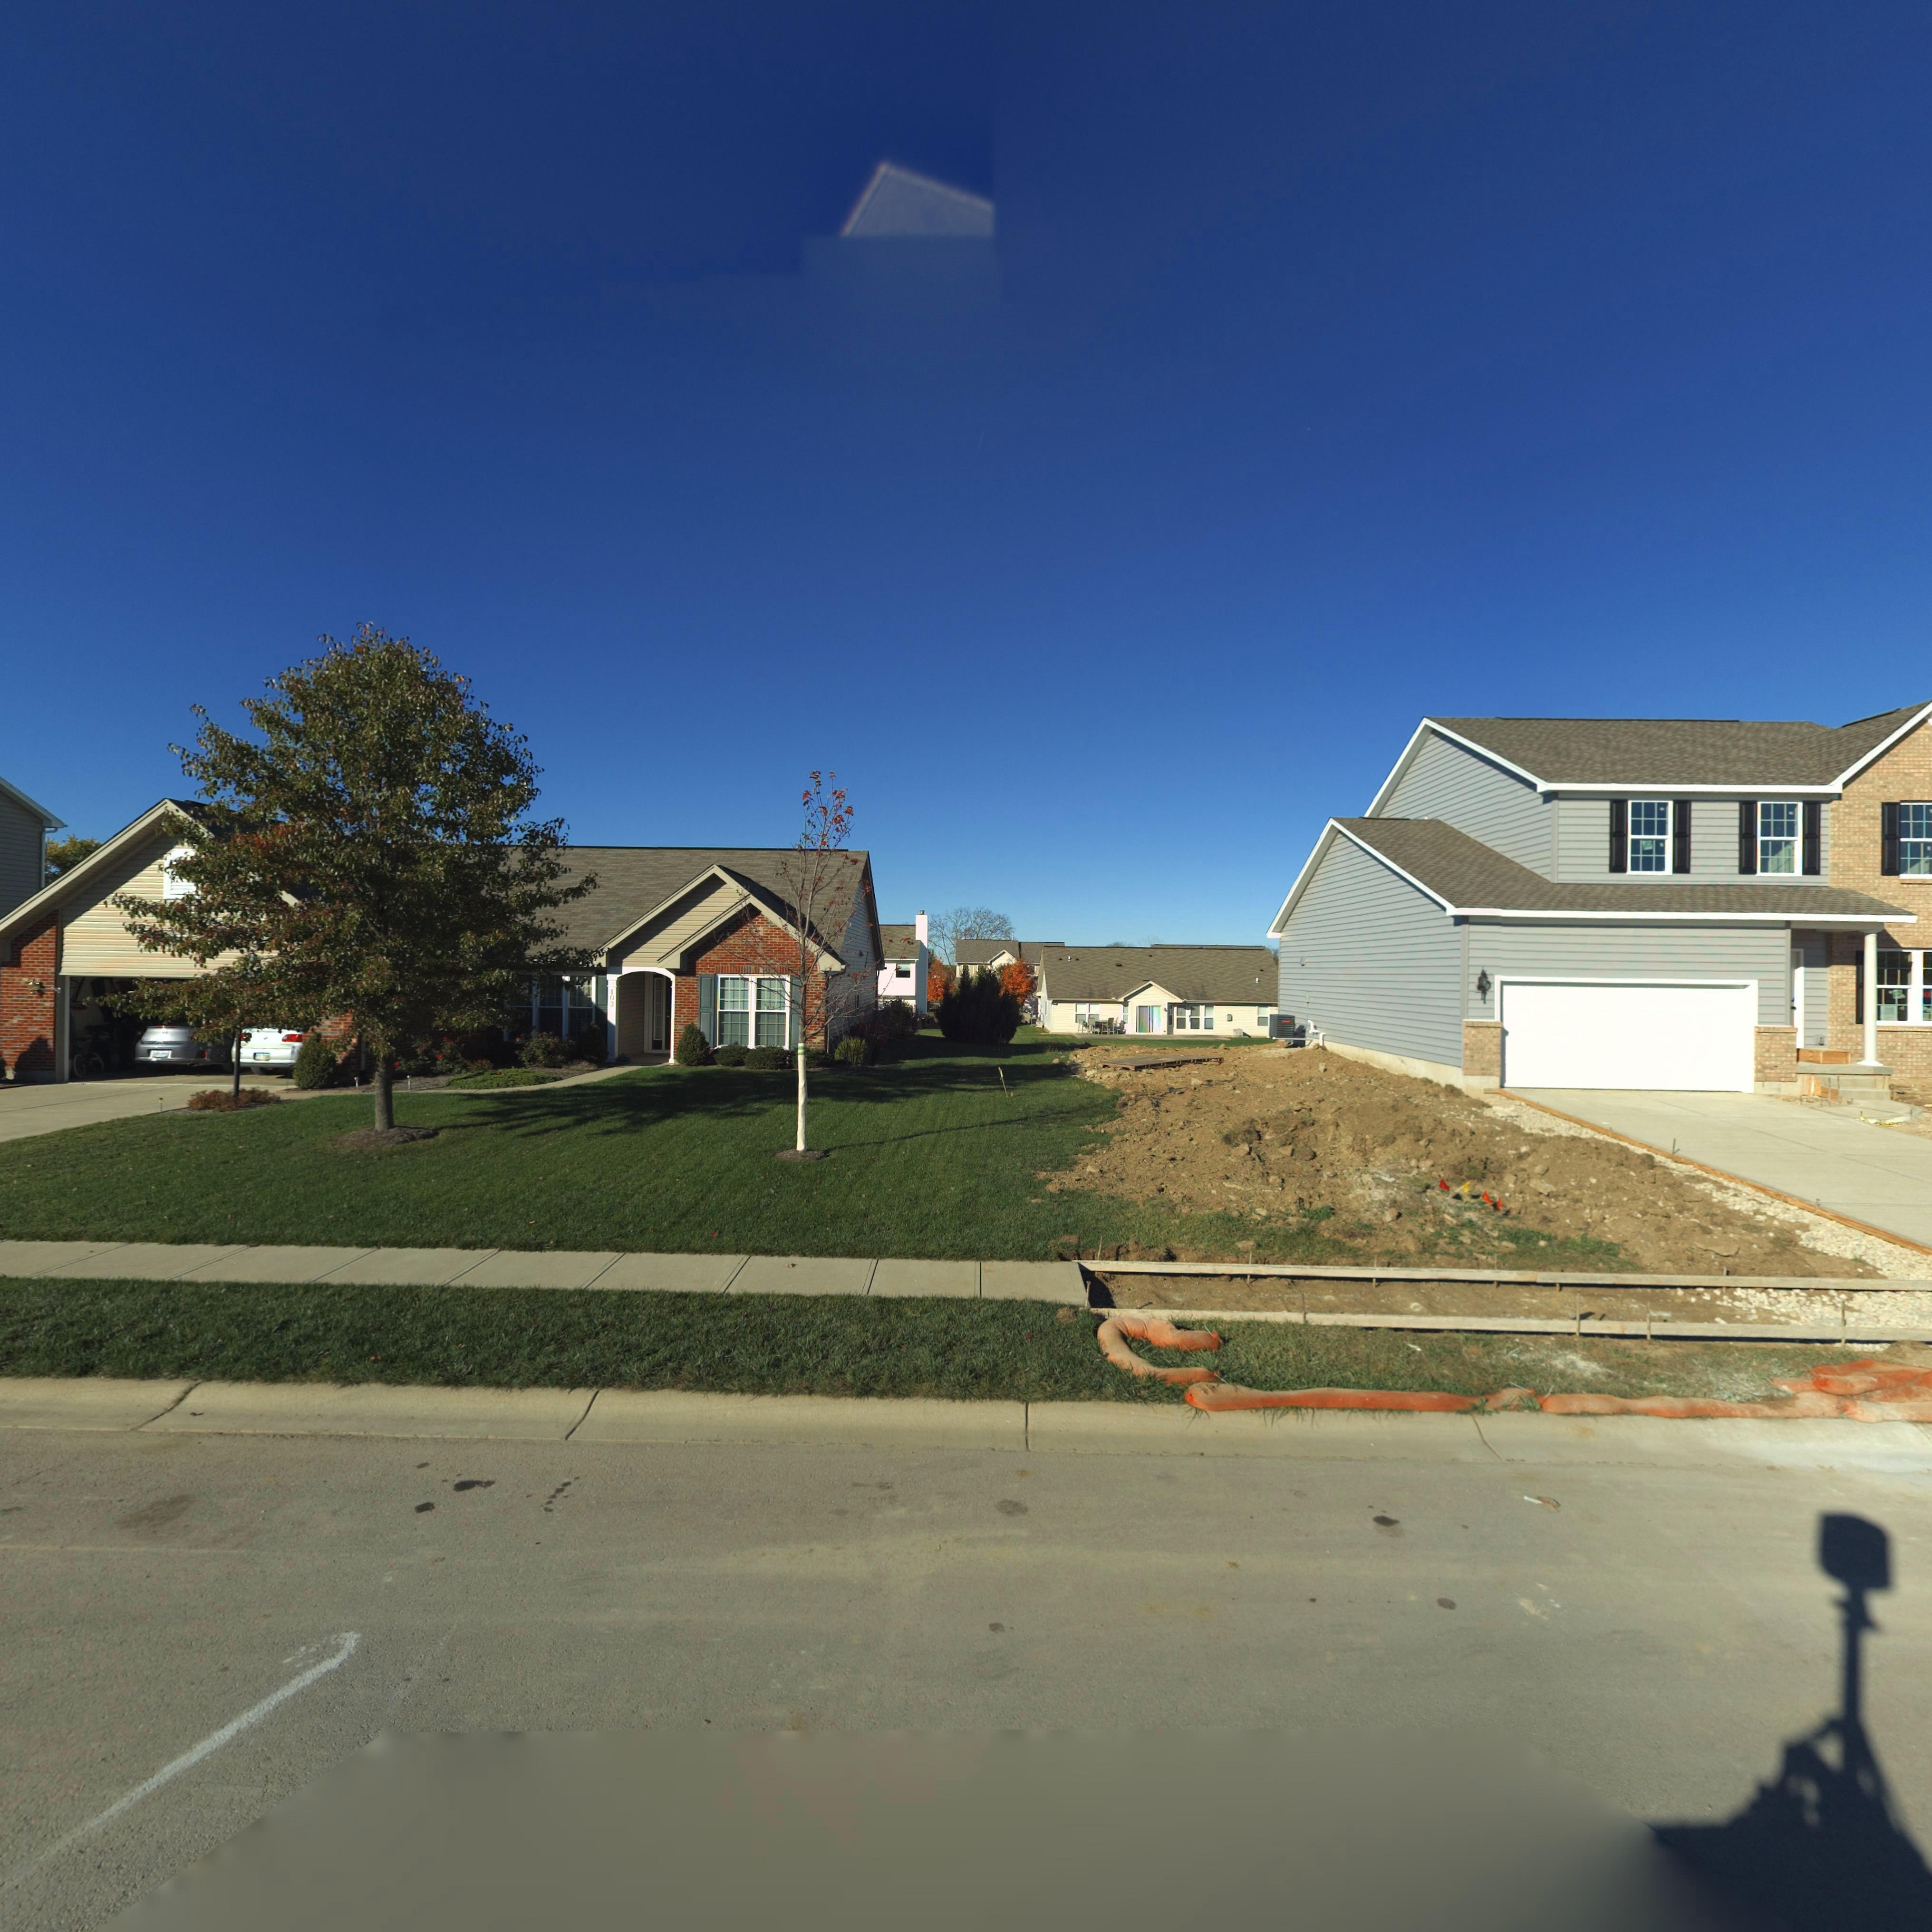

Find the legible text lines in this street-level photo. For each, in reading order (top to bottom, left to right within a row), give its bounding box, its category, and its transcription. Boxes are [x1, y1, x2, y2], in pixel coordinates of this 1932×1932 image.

[609, 988, 615, 1007] StreetNumber: 103